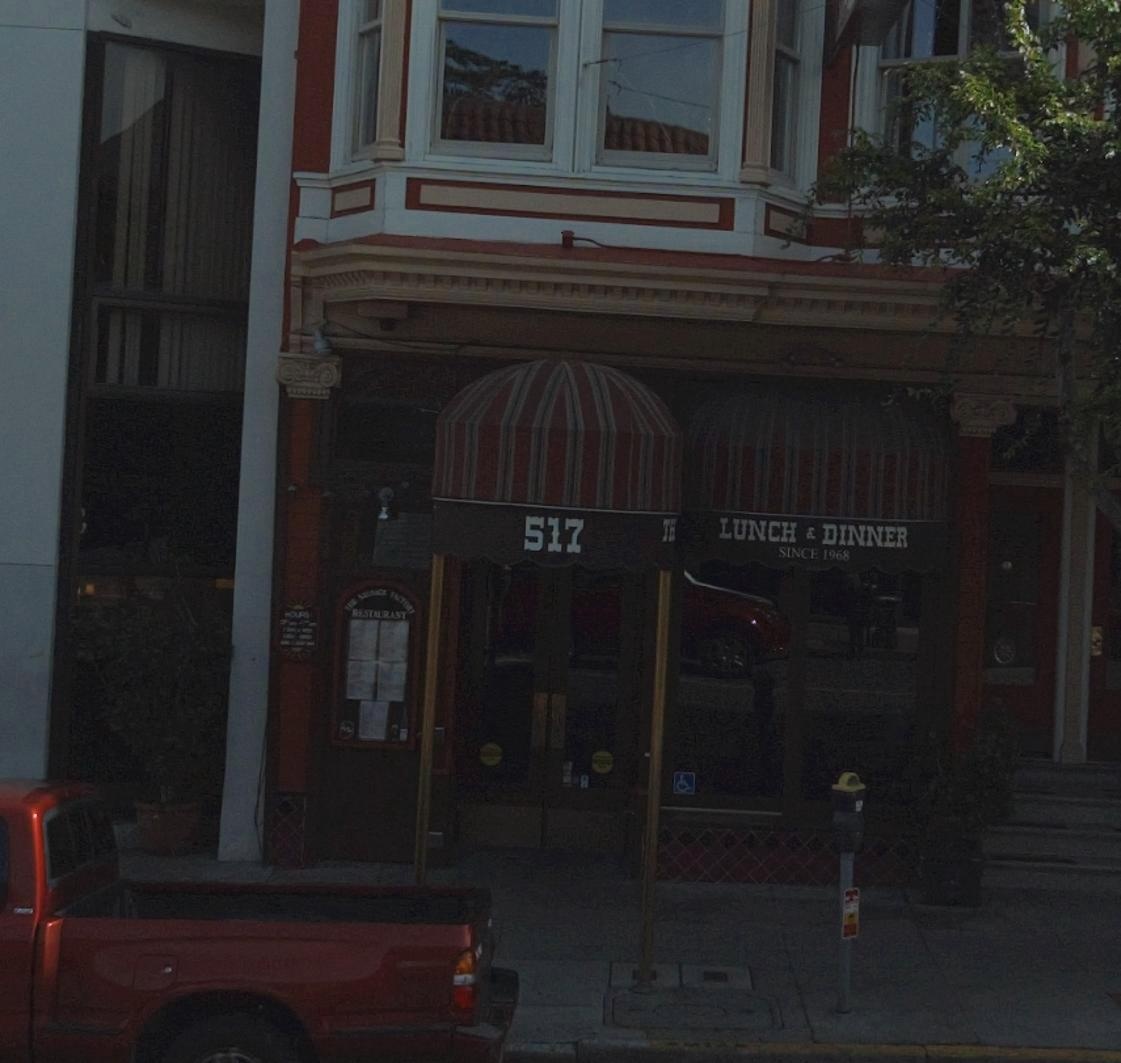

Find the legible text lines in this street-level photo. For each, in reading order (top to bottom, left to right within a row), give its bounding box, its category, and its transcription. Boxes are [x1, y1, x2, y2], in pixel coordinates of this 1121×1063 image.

[522, 514, 589, 554] StreetNumber: 517
[716, 514, 912, 552] None: LUNCH & DINNER
[776, 542, 852, 565] None: SINCE 1968
[282, 609, 311, 620] None: HOURS
[351, 607, 407, 620] BusinessName: RESTAURANT
[340, 586, 419, 616] BusinessName: THE SAUSAGE FACTORY